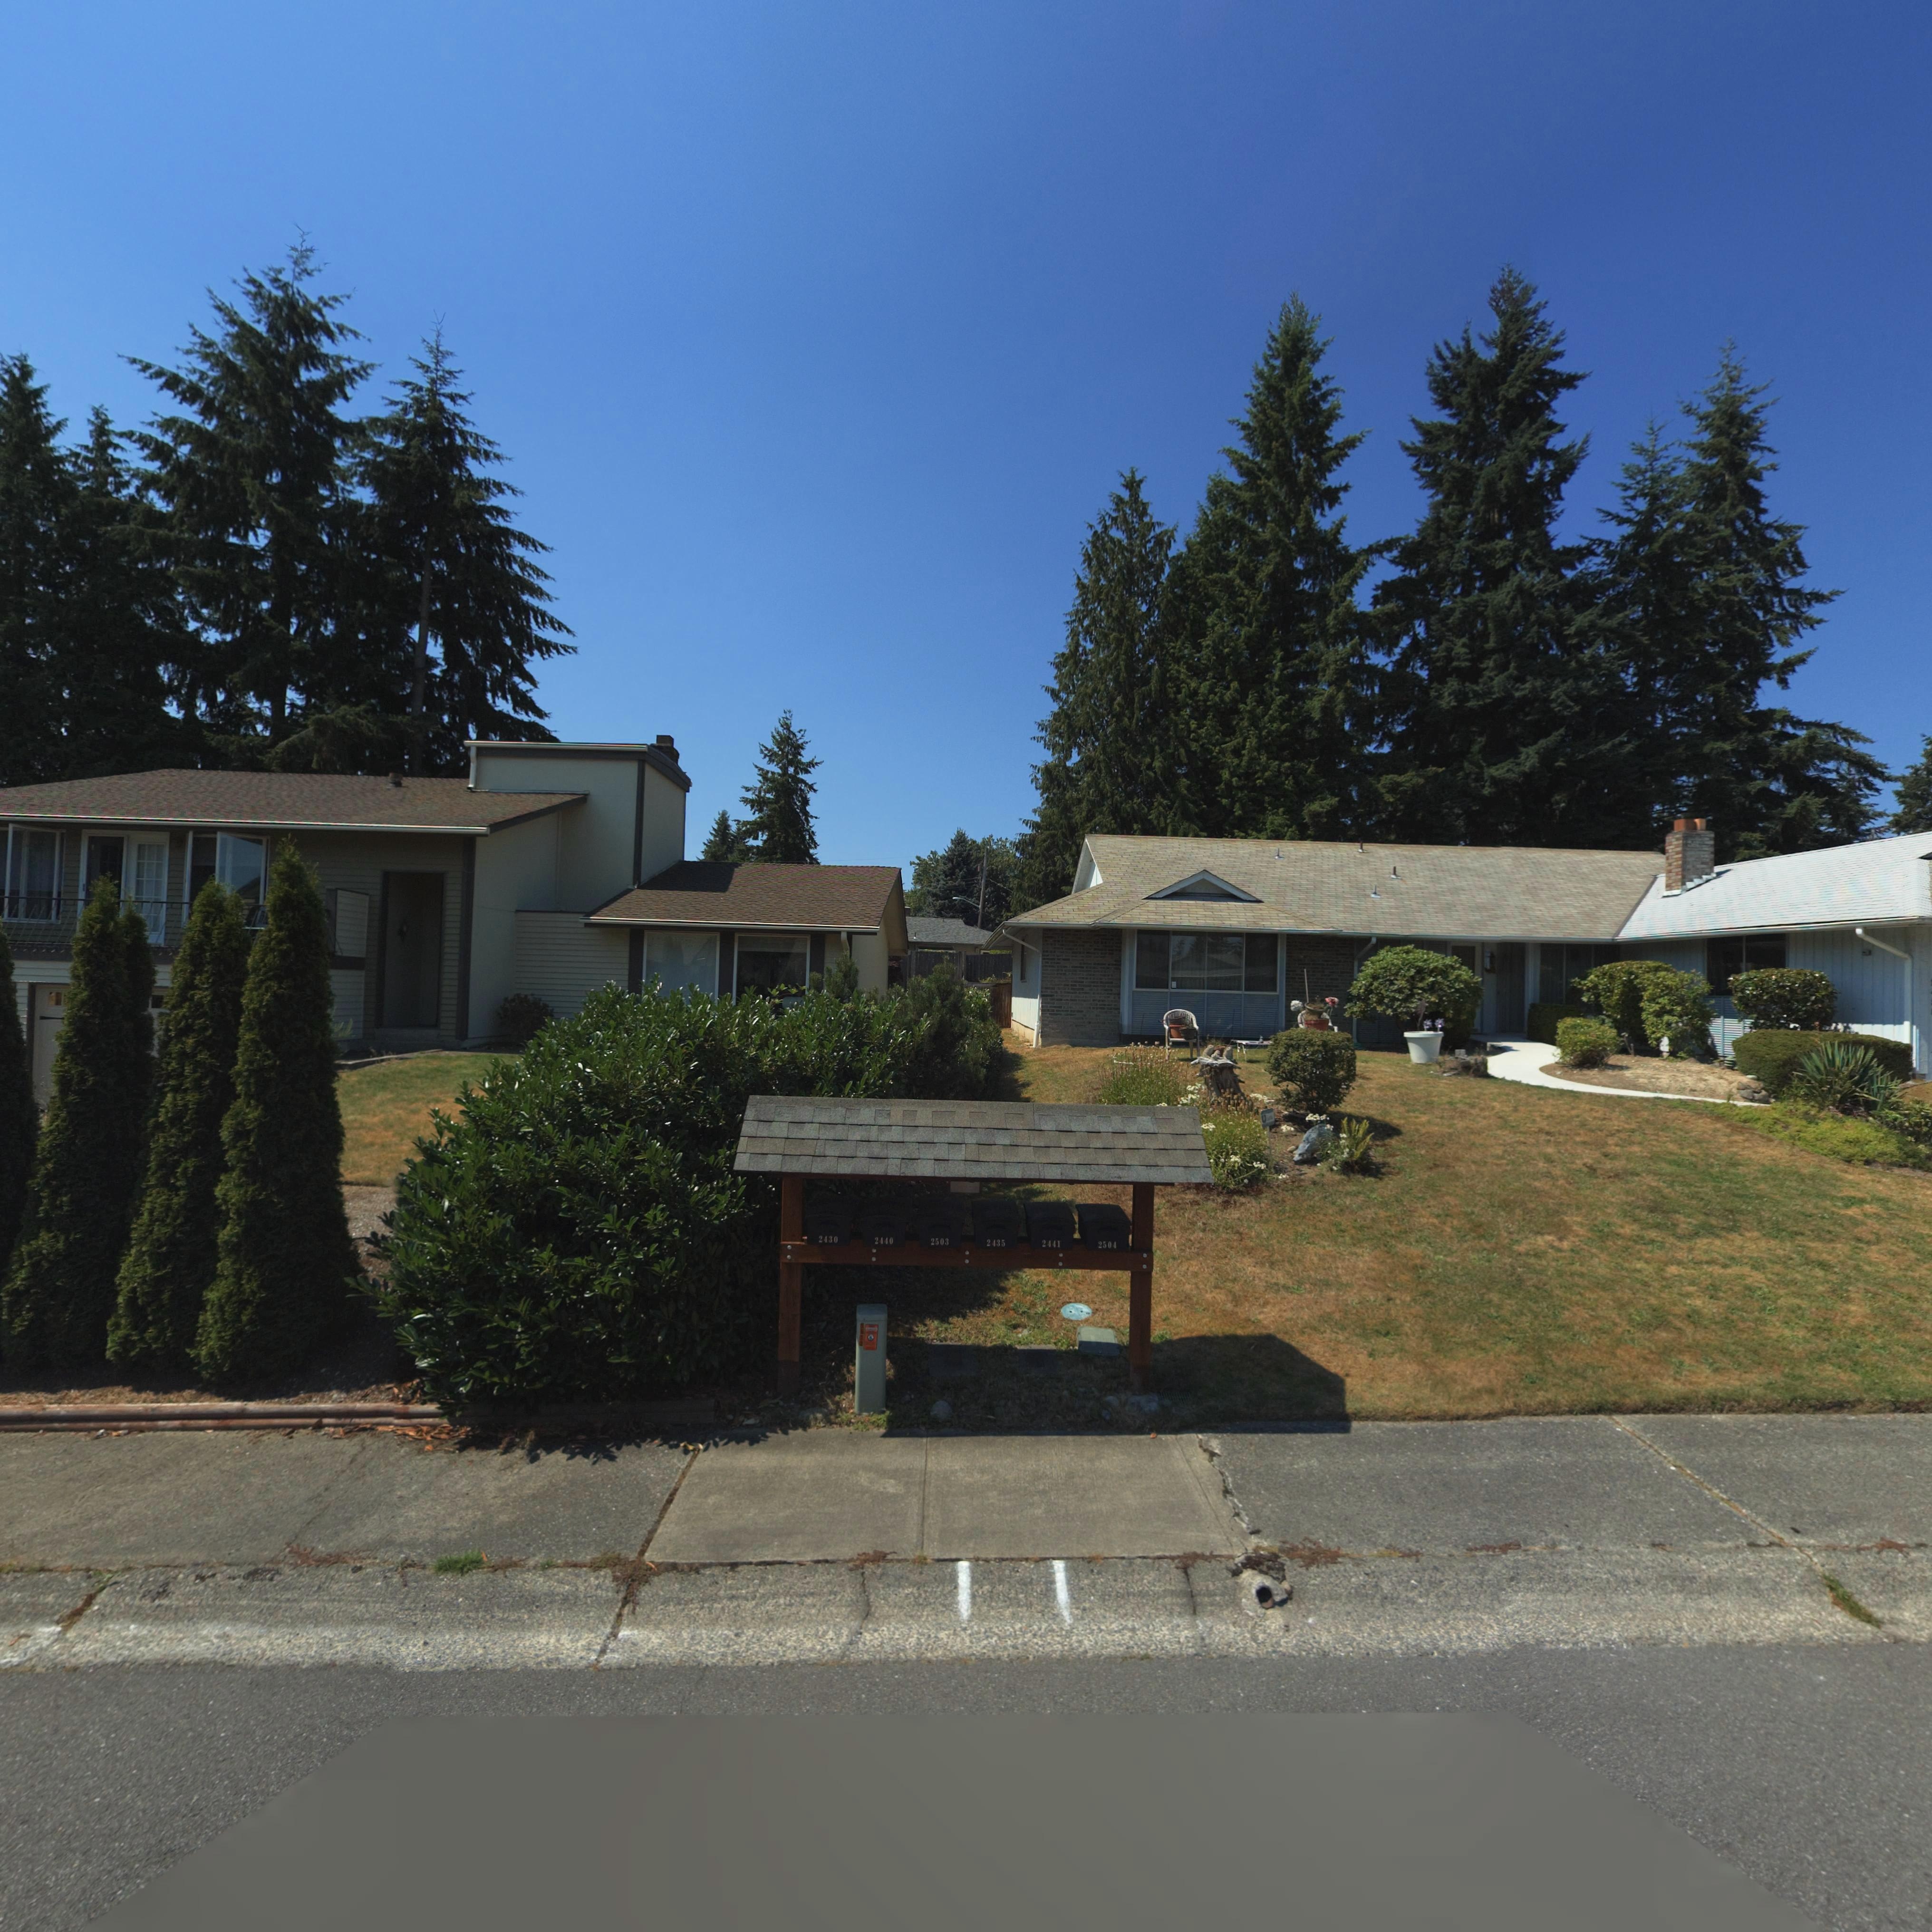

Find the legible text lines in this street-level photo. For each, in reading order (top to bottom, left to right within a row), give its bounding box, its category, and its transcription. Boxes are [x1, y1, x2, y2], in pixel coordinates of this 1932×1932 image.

[819, 1236, 837, 1242] StreetNumber: 2430
[872, 1236, 894, 1245] StreetNumber: 2440
[927, 1235, 953, 1248] StreetNumber: 2503
[985, 1238, 1006, 1247] StreetNumber: 2435
[1042, 1239, 1061, 1248] StreetNumber: 2441
[1095, 1238, 1120, 1252] StreetNumber: 2504